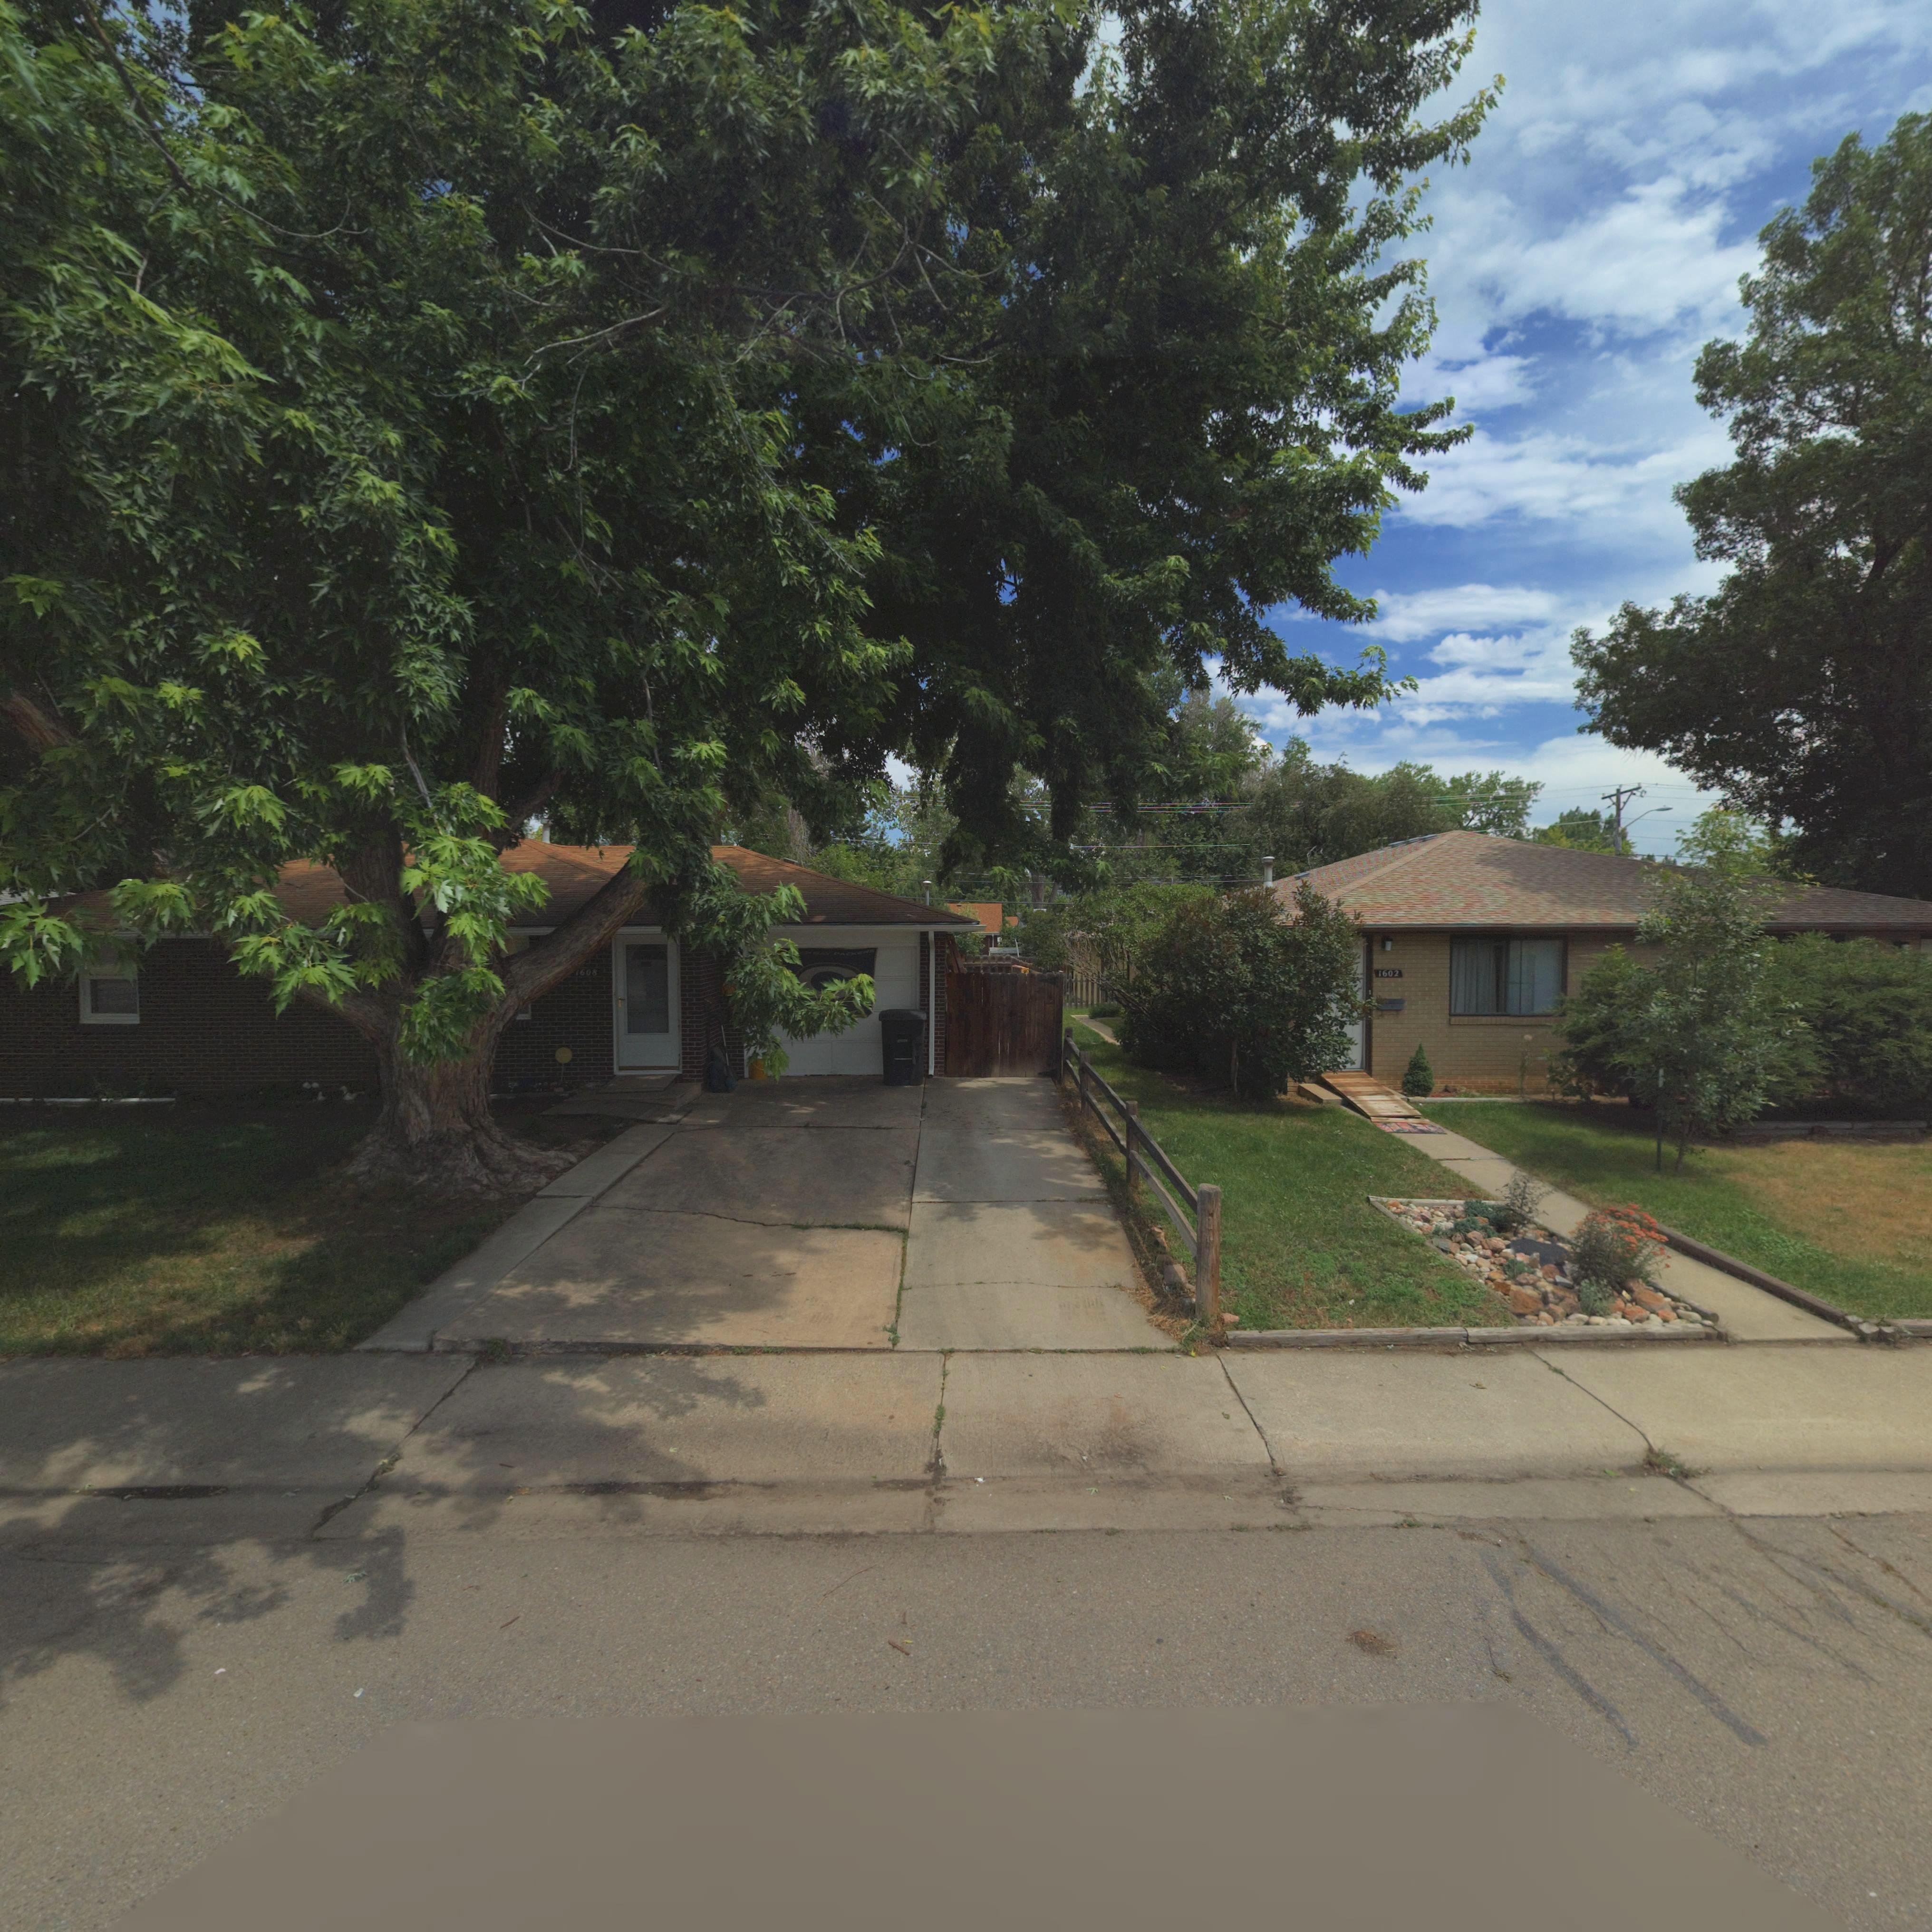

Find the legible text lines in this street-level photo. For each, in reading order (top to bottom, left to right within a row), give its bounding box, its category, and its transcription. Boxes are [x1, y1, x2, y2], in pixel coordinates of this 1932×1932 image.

[575, 968, 598, 976] StreetNumber: 1608
[1379, 970, 1399, 977] StreetNumber: 1602